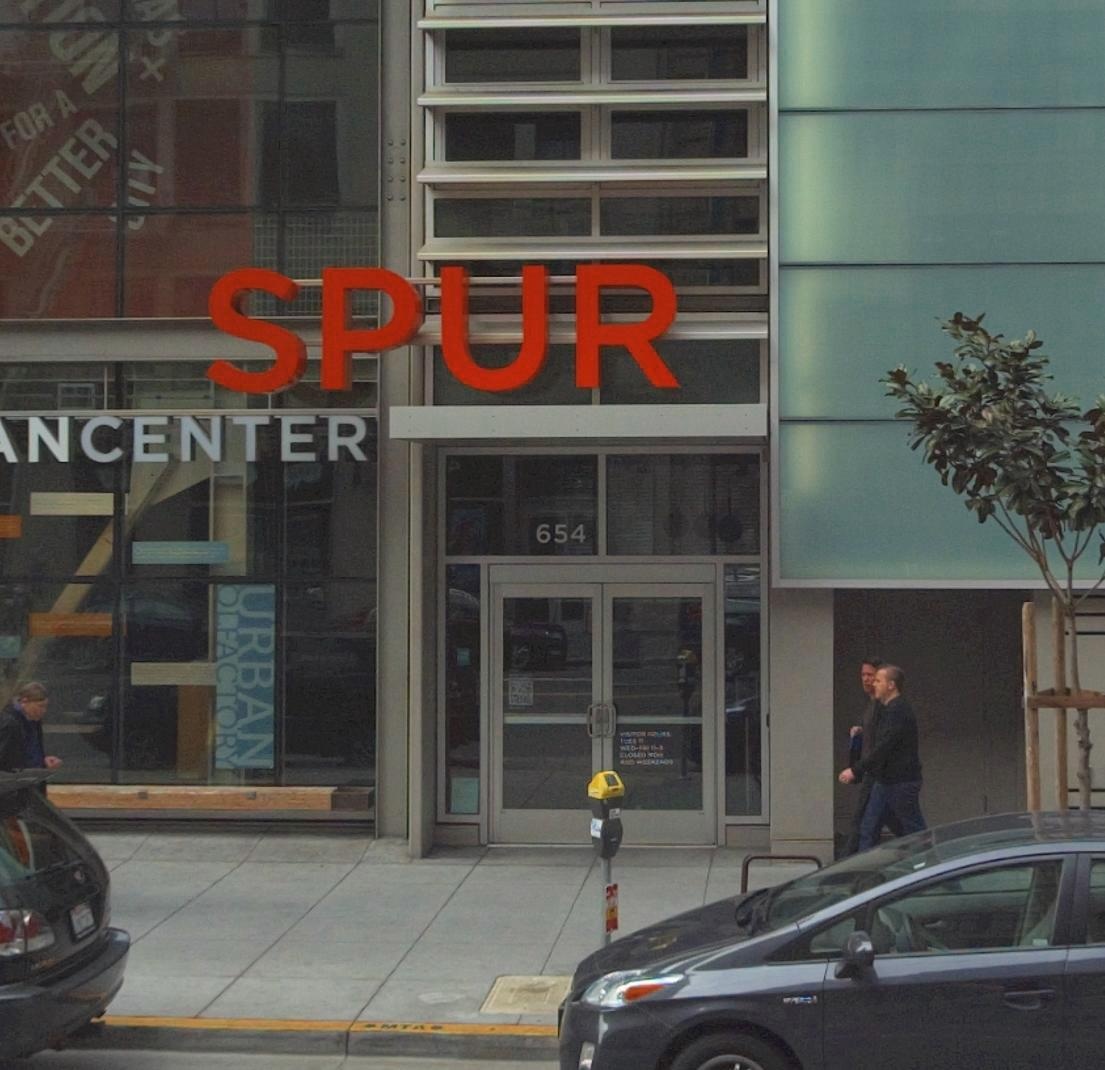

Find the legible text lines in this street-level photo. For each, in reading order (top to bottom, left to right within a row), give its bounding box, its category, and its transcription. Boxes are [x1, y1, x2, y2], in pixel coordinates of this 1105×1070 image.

[0, 83, 82, 154] None: FOR A
[17, 111, 123, 211] None: TTER
[124, 145, 168, 177] None: Y
[199, 257, 687, 400] BusinessName: SPUR
[25, 409, 375, 469] BusinessName: NCENTER
[533, 521, 588, 546] StreetNumber: 654
[213, 581, 241, 769] None: OLFACTORY
[234, 581, 279, 770] None: URBAN
[377, 1021, 430, 1033] None: MTA